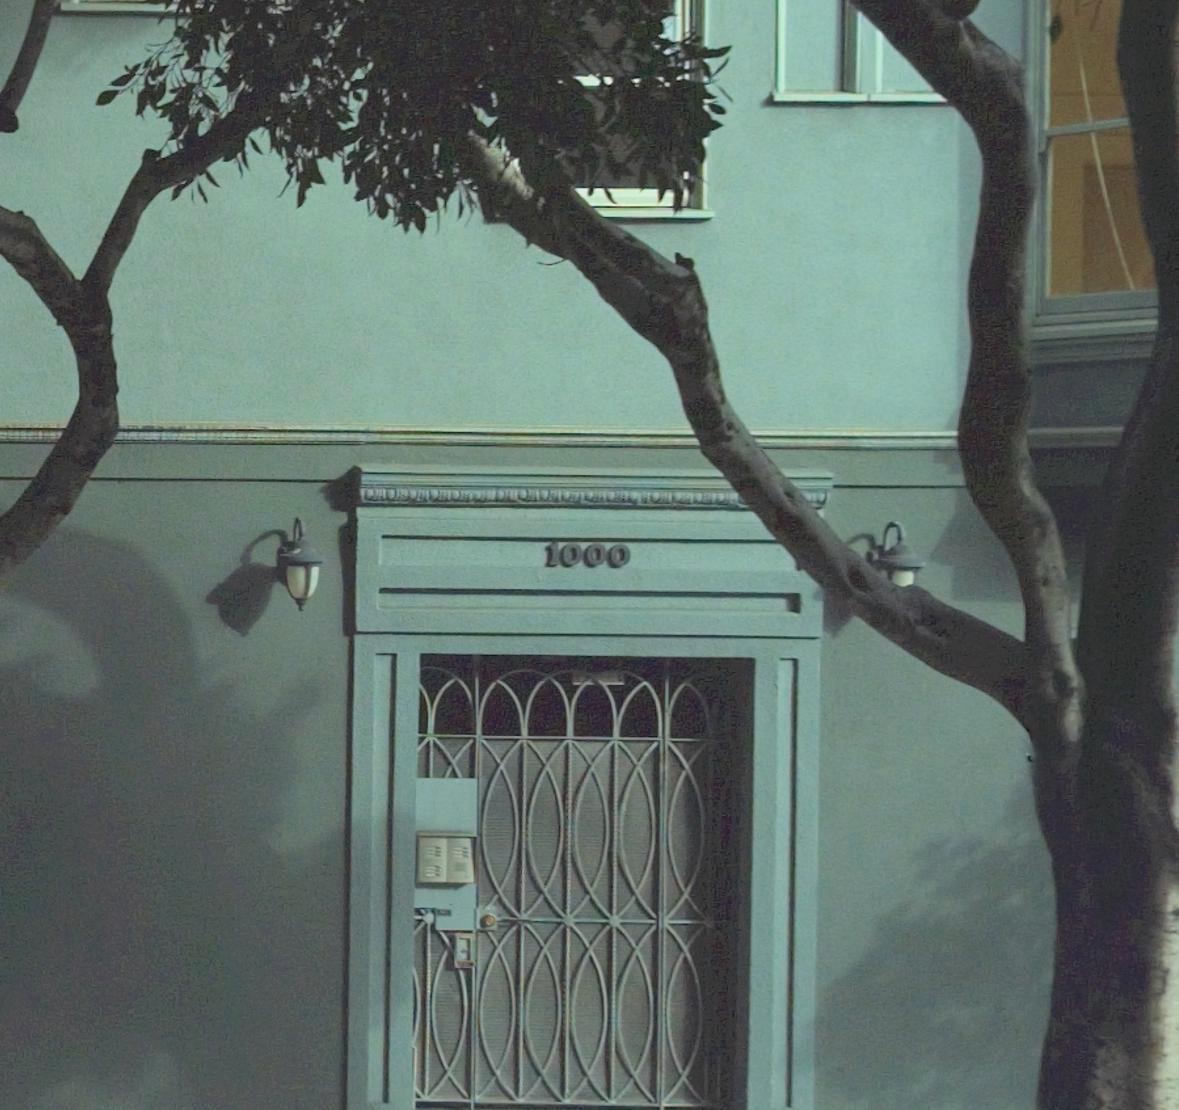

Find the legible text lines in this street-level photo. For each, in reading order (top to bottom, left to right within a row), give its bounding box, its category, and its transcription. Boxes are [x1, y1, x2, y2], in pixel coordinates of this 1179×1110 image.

[543, 538, 632, 569] StreetNumber: 1000